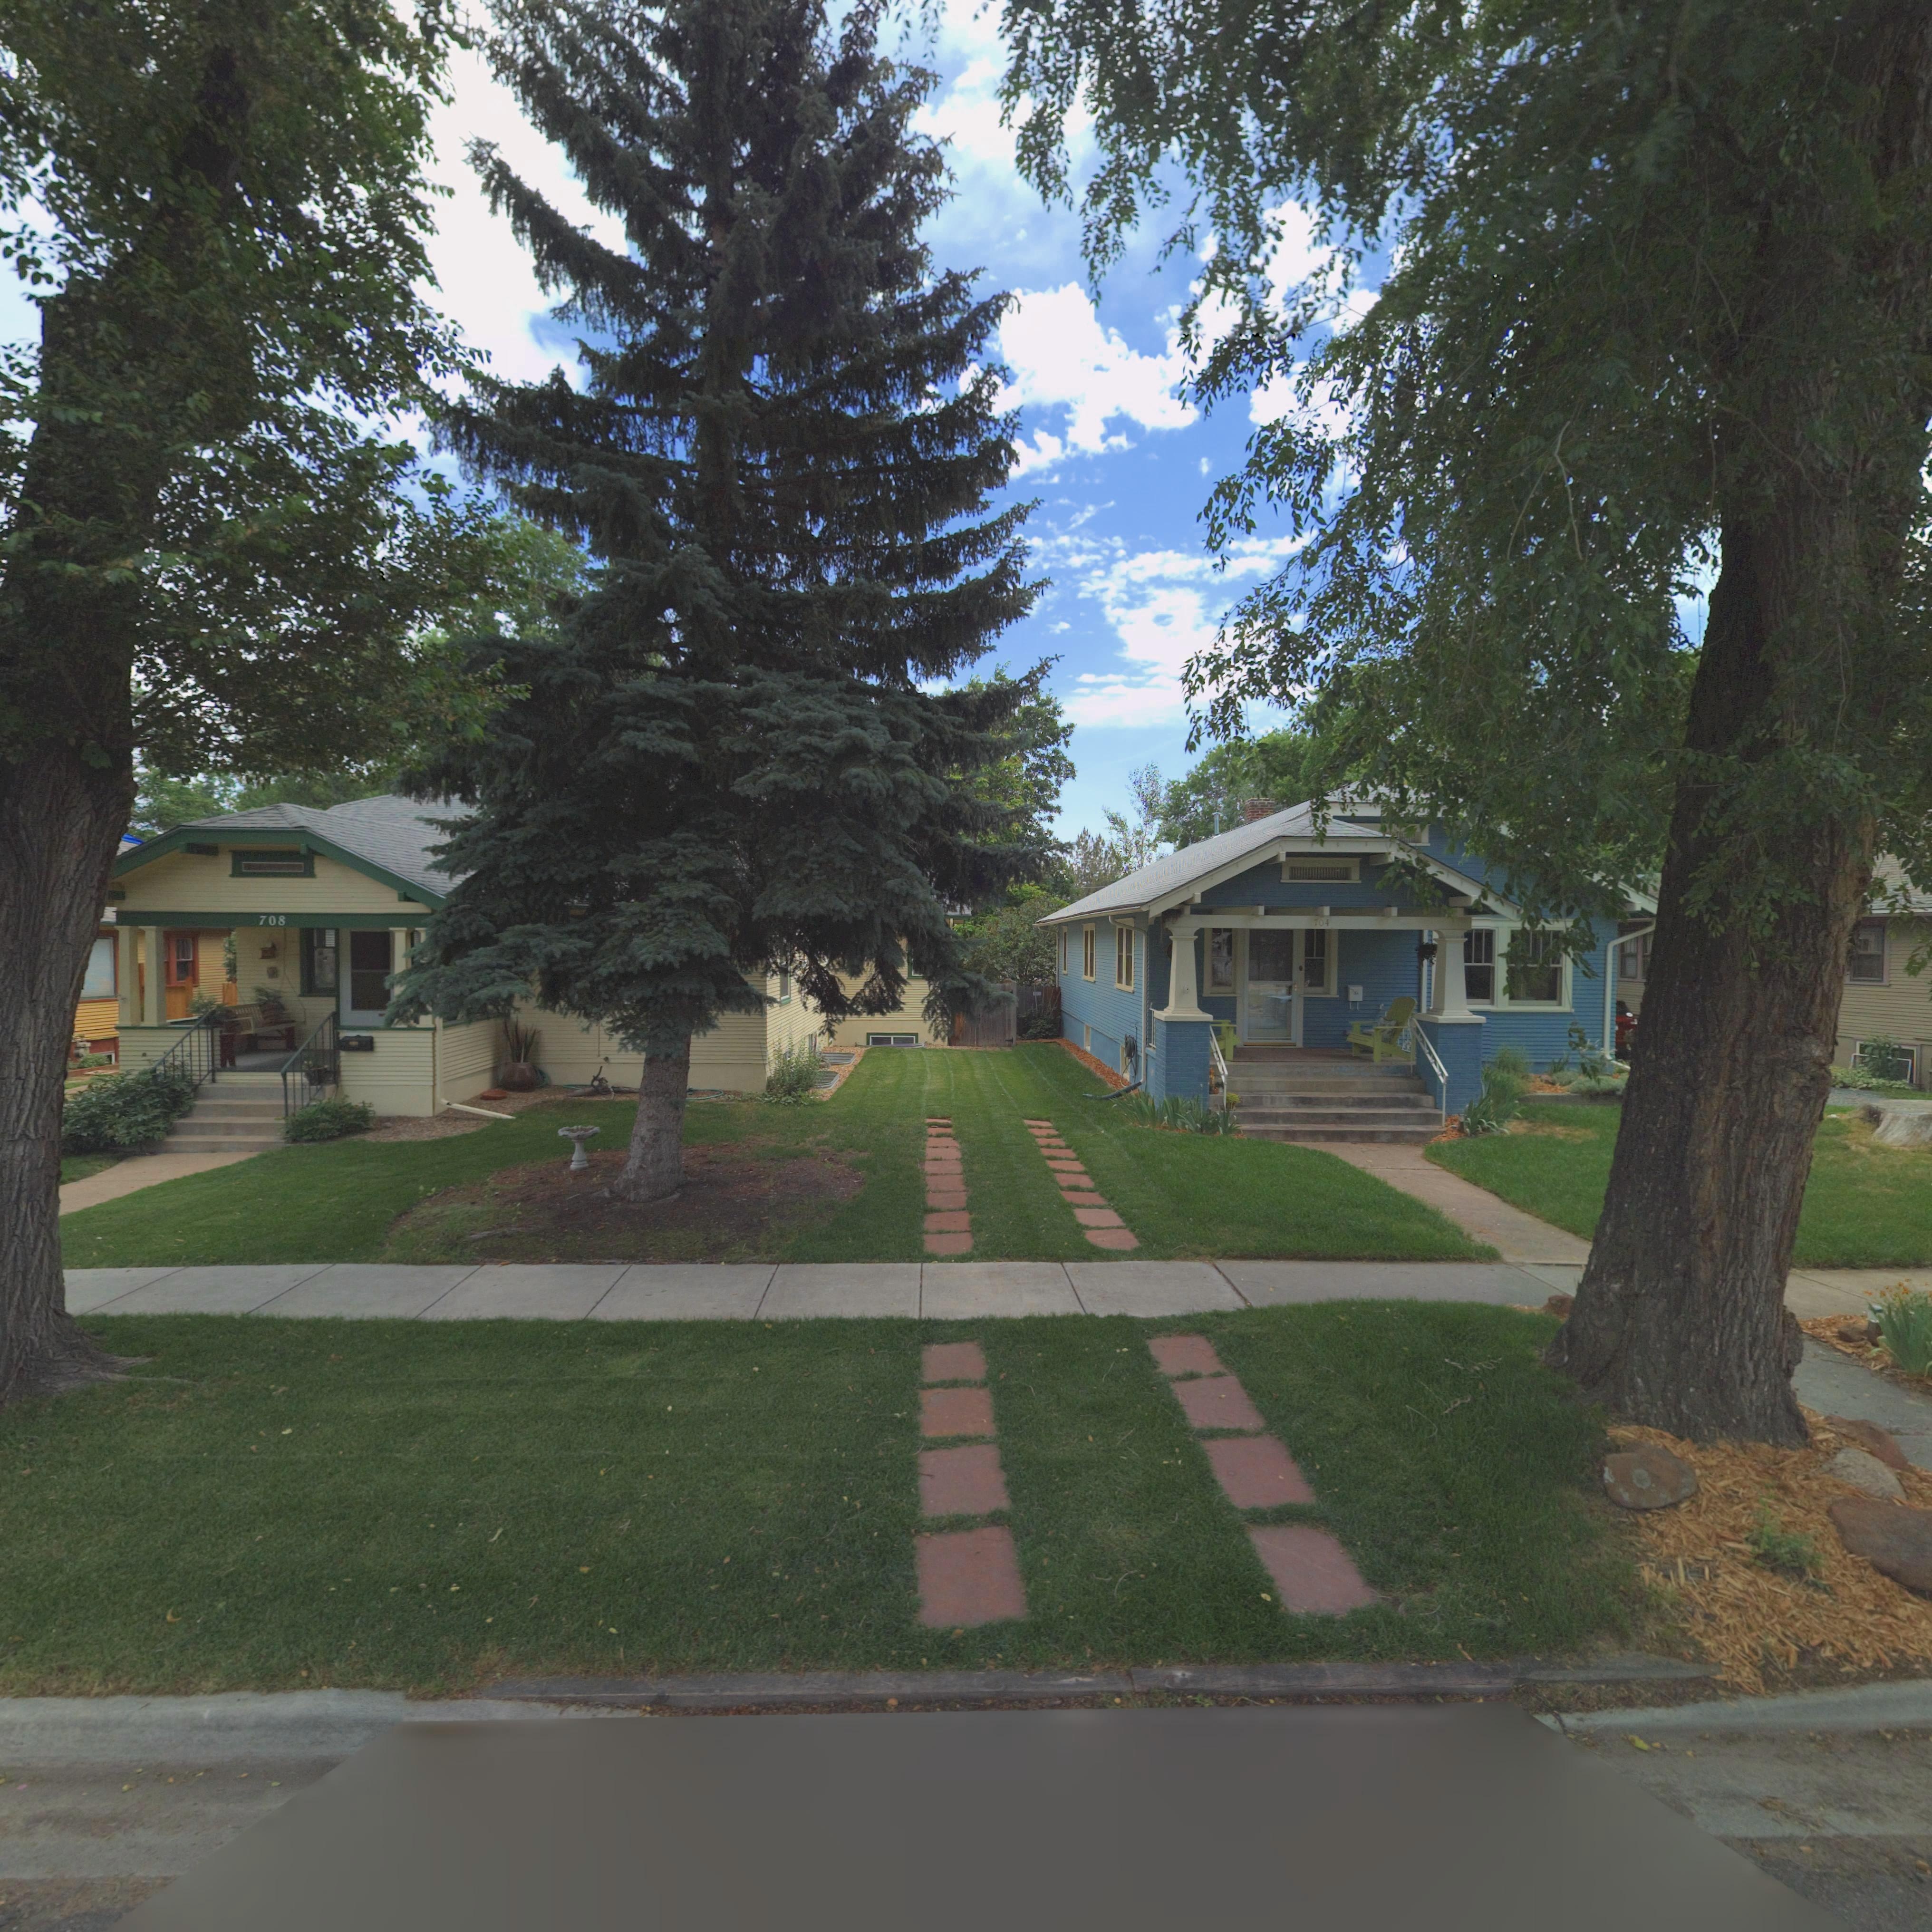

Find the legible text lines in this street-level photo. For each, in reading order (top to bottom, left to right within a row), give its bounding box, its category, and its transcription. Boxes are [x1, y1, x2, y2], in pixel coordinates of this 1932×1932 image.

[259, 916, 285, 925] StreetNumber: 708